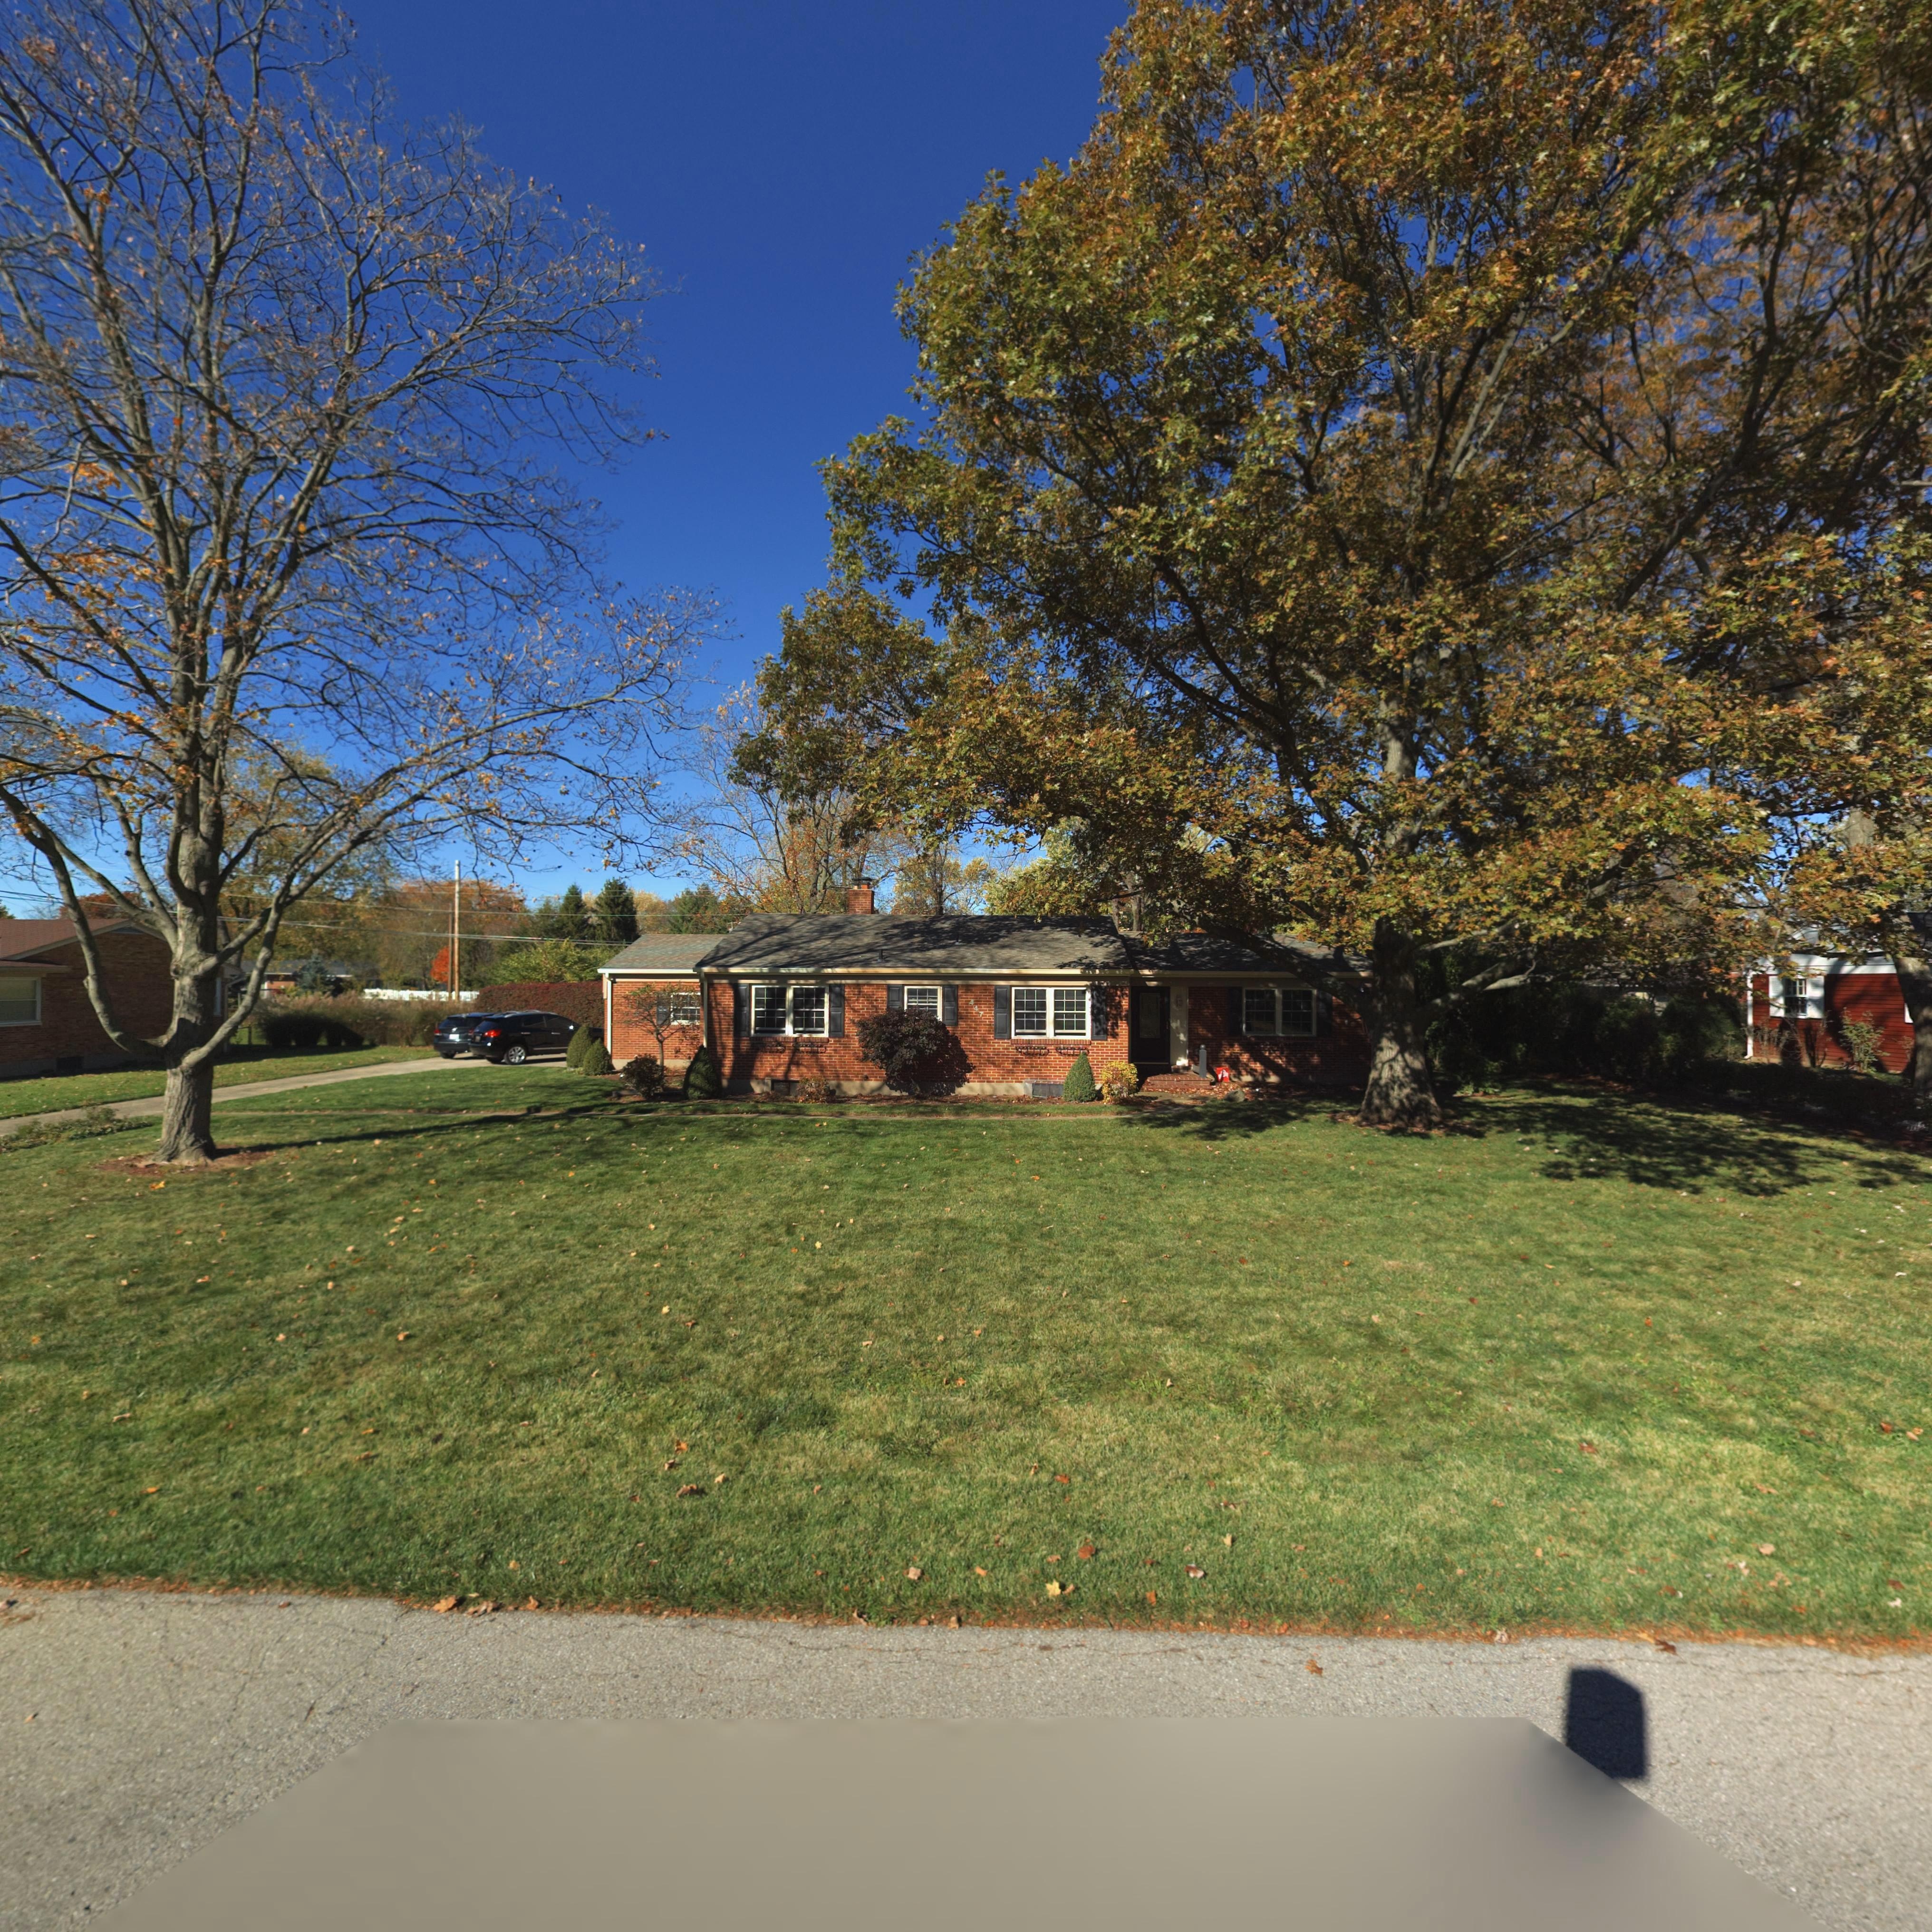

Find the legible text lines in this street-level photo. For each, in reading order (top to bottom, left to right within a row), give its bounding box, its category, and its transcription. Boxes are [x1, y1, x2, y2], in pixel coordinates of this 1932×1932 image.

[969, 999, 984, 1017] StreetNumber: 447